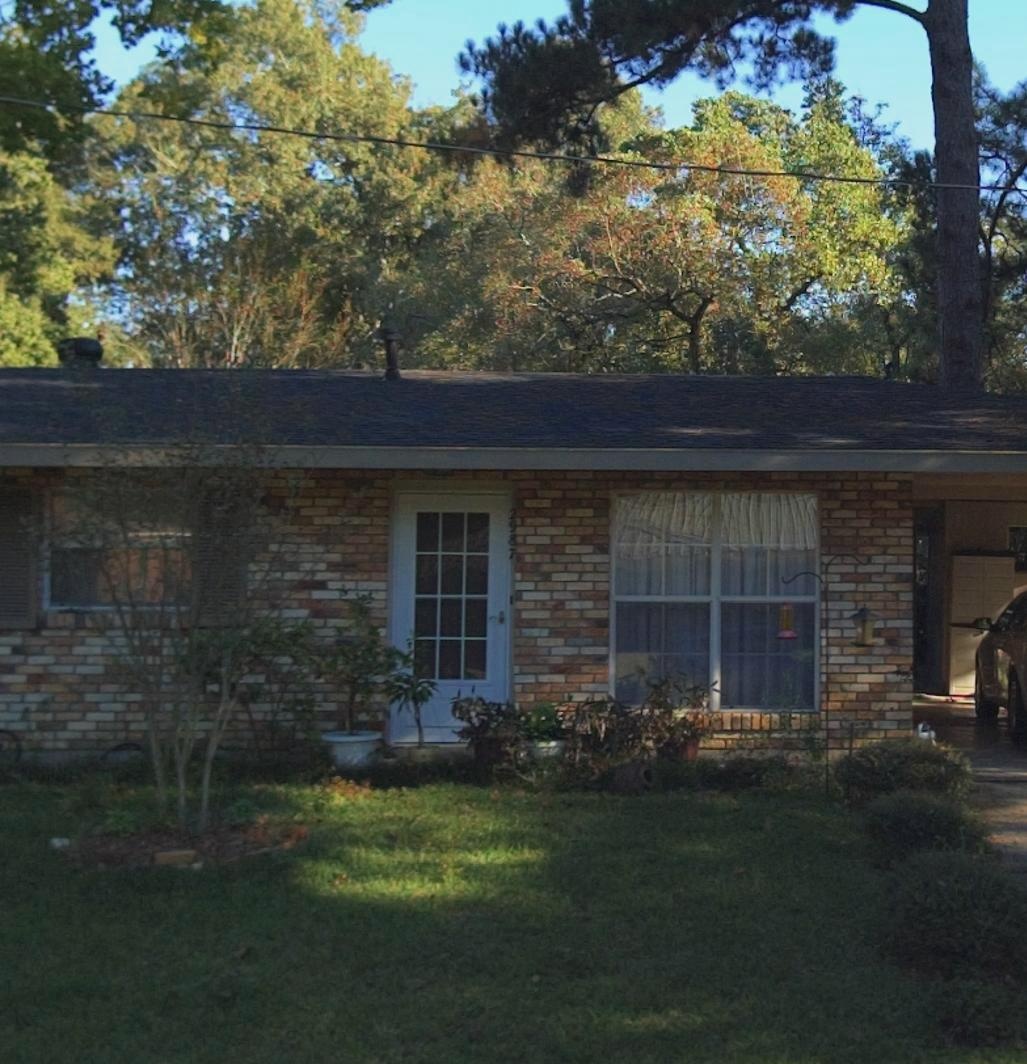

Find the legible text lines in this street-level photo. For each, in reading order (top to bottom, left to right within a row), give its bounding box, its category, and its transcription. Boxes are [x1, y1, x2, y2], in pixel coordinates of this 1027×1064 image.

[507, 507, 518, 561] StreetNumber: 2987